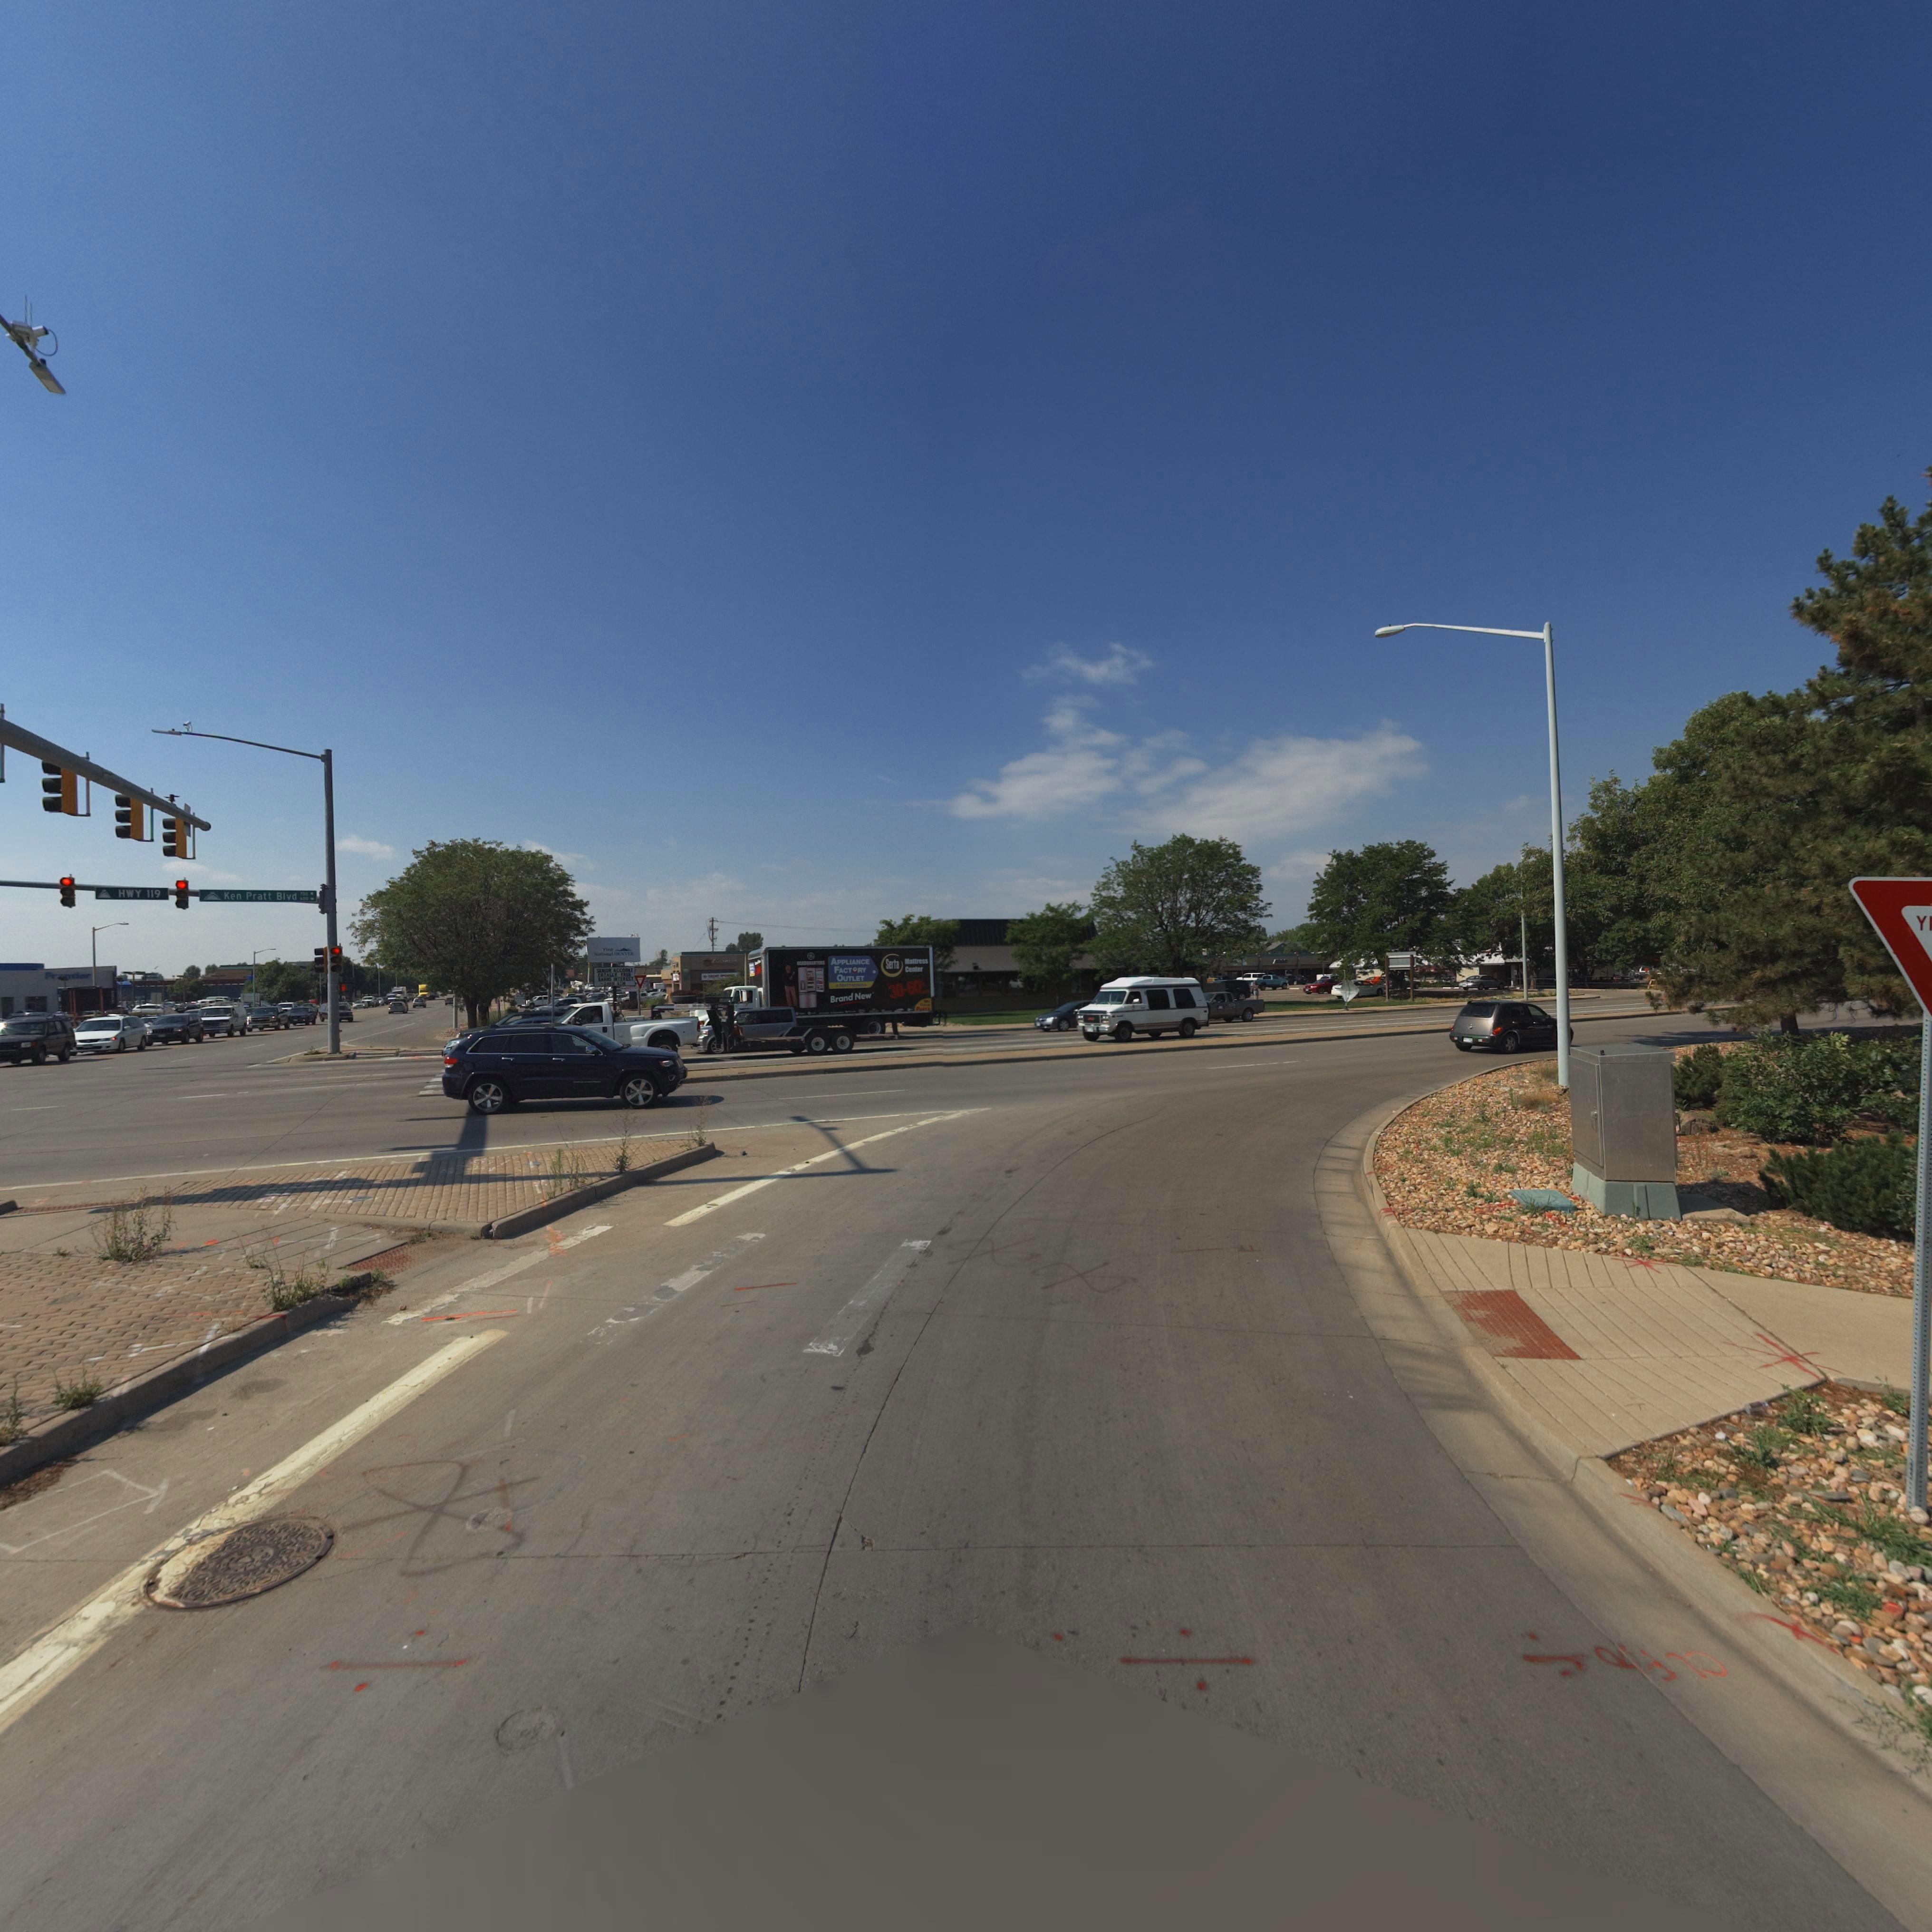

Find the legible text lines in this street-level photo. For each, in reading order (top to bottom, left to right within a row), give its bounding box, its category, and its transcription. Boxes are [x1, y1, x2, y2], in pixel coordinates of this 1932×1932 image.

[118, 889, 161, 898] StreetName: HWY 119
[223, 891, 297, 900] StreetName: Ken Pratt Blvd
[300, 891, 309, 896] StreetNumberRange: 700
[299, 896, 314, 901] StreetNumberRange: 600 ->
[602, 947, 613, 952] BusinessName: First
[594, 951, 634, 956] BusinessName: National DENVER
[1272, 958, 1287, 964] BusinessName: Allstate
[44, 971, 91, 979] BusinessName: Fr**tier